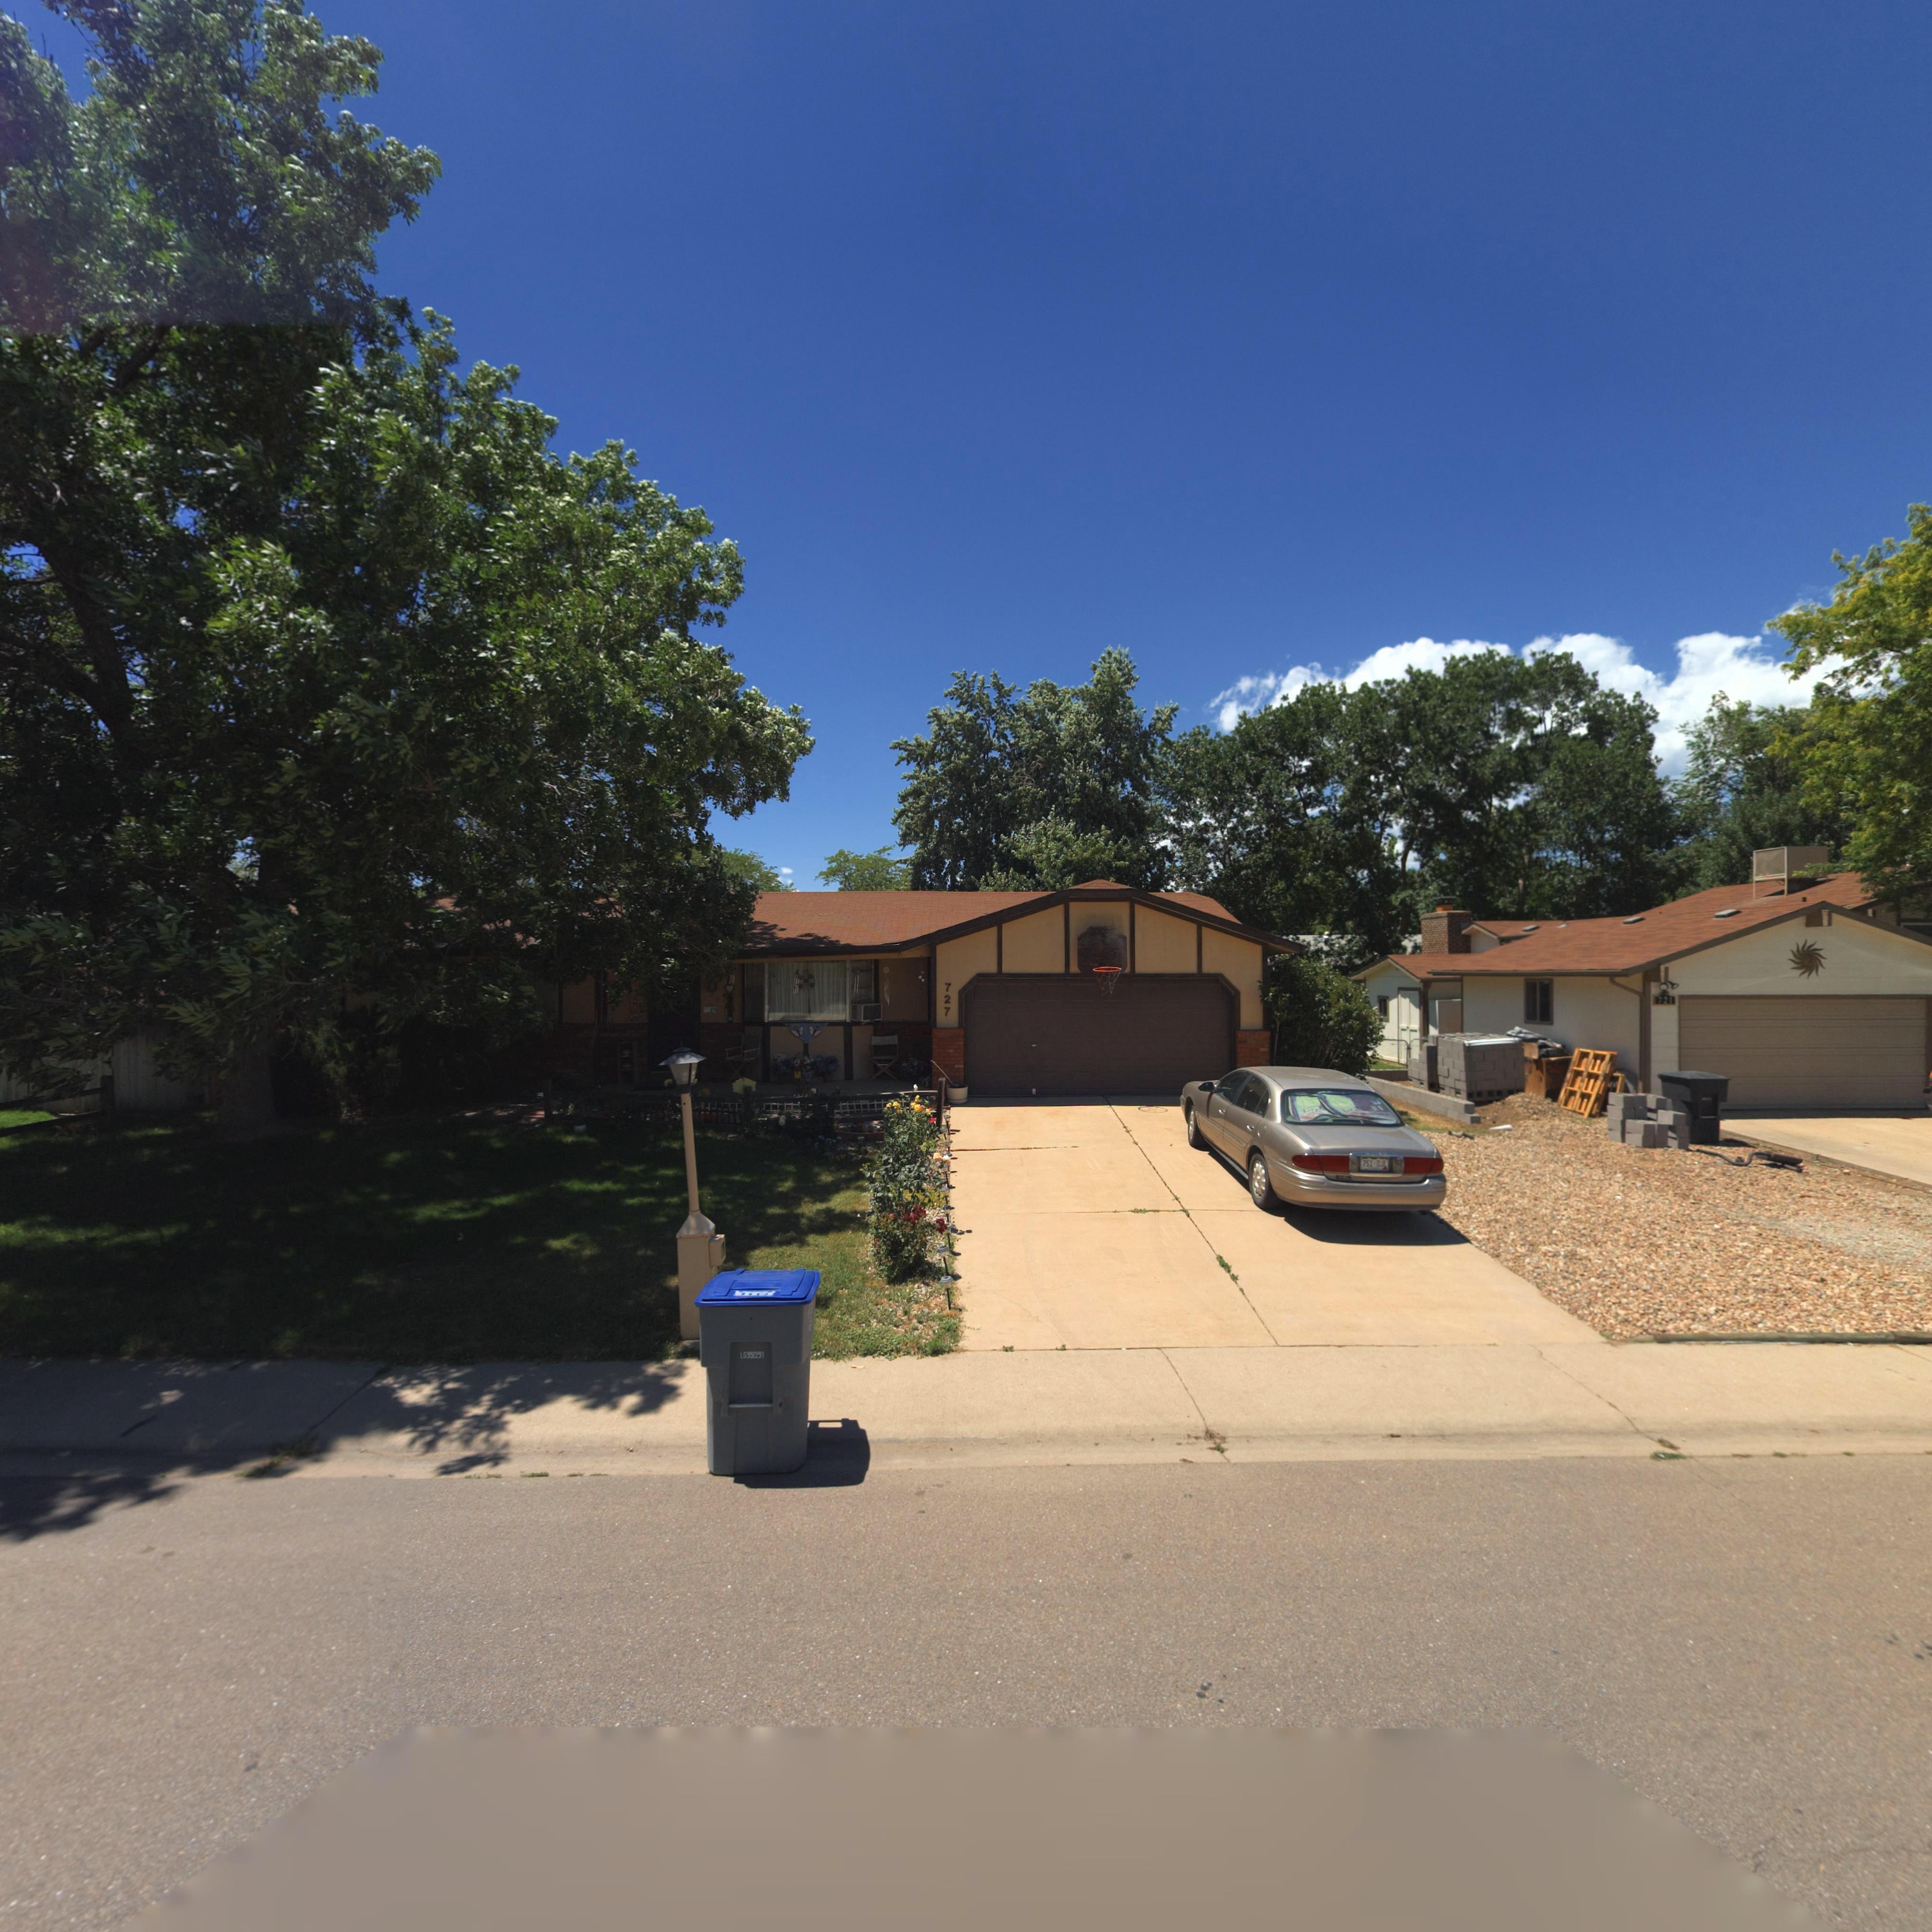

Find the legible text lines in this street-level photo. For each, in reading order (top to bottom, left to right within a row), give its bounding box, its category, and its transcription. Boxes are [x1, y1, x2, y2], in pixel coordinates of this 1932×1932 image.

[944, 982, 952, 1017] StreetNumber: 727
[1657, 995, 1672, 1004] StreetNumber: 721